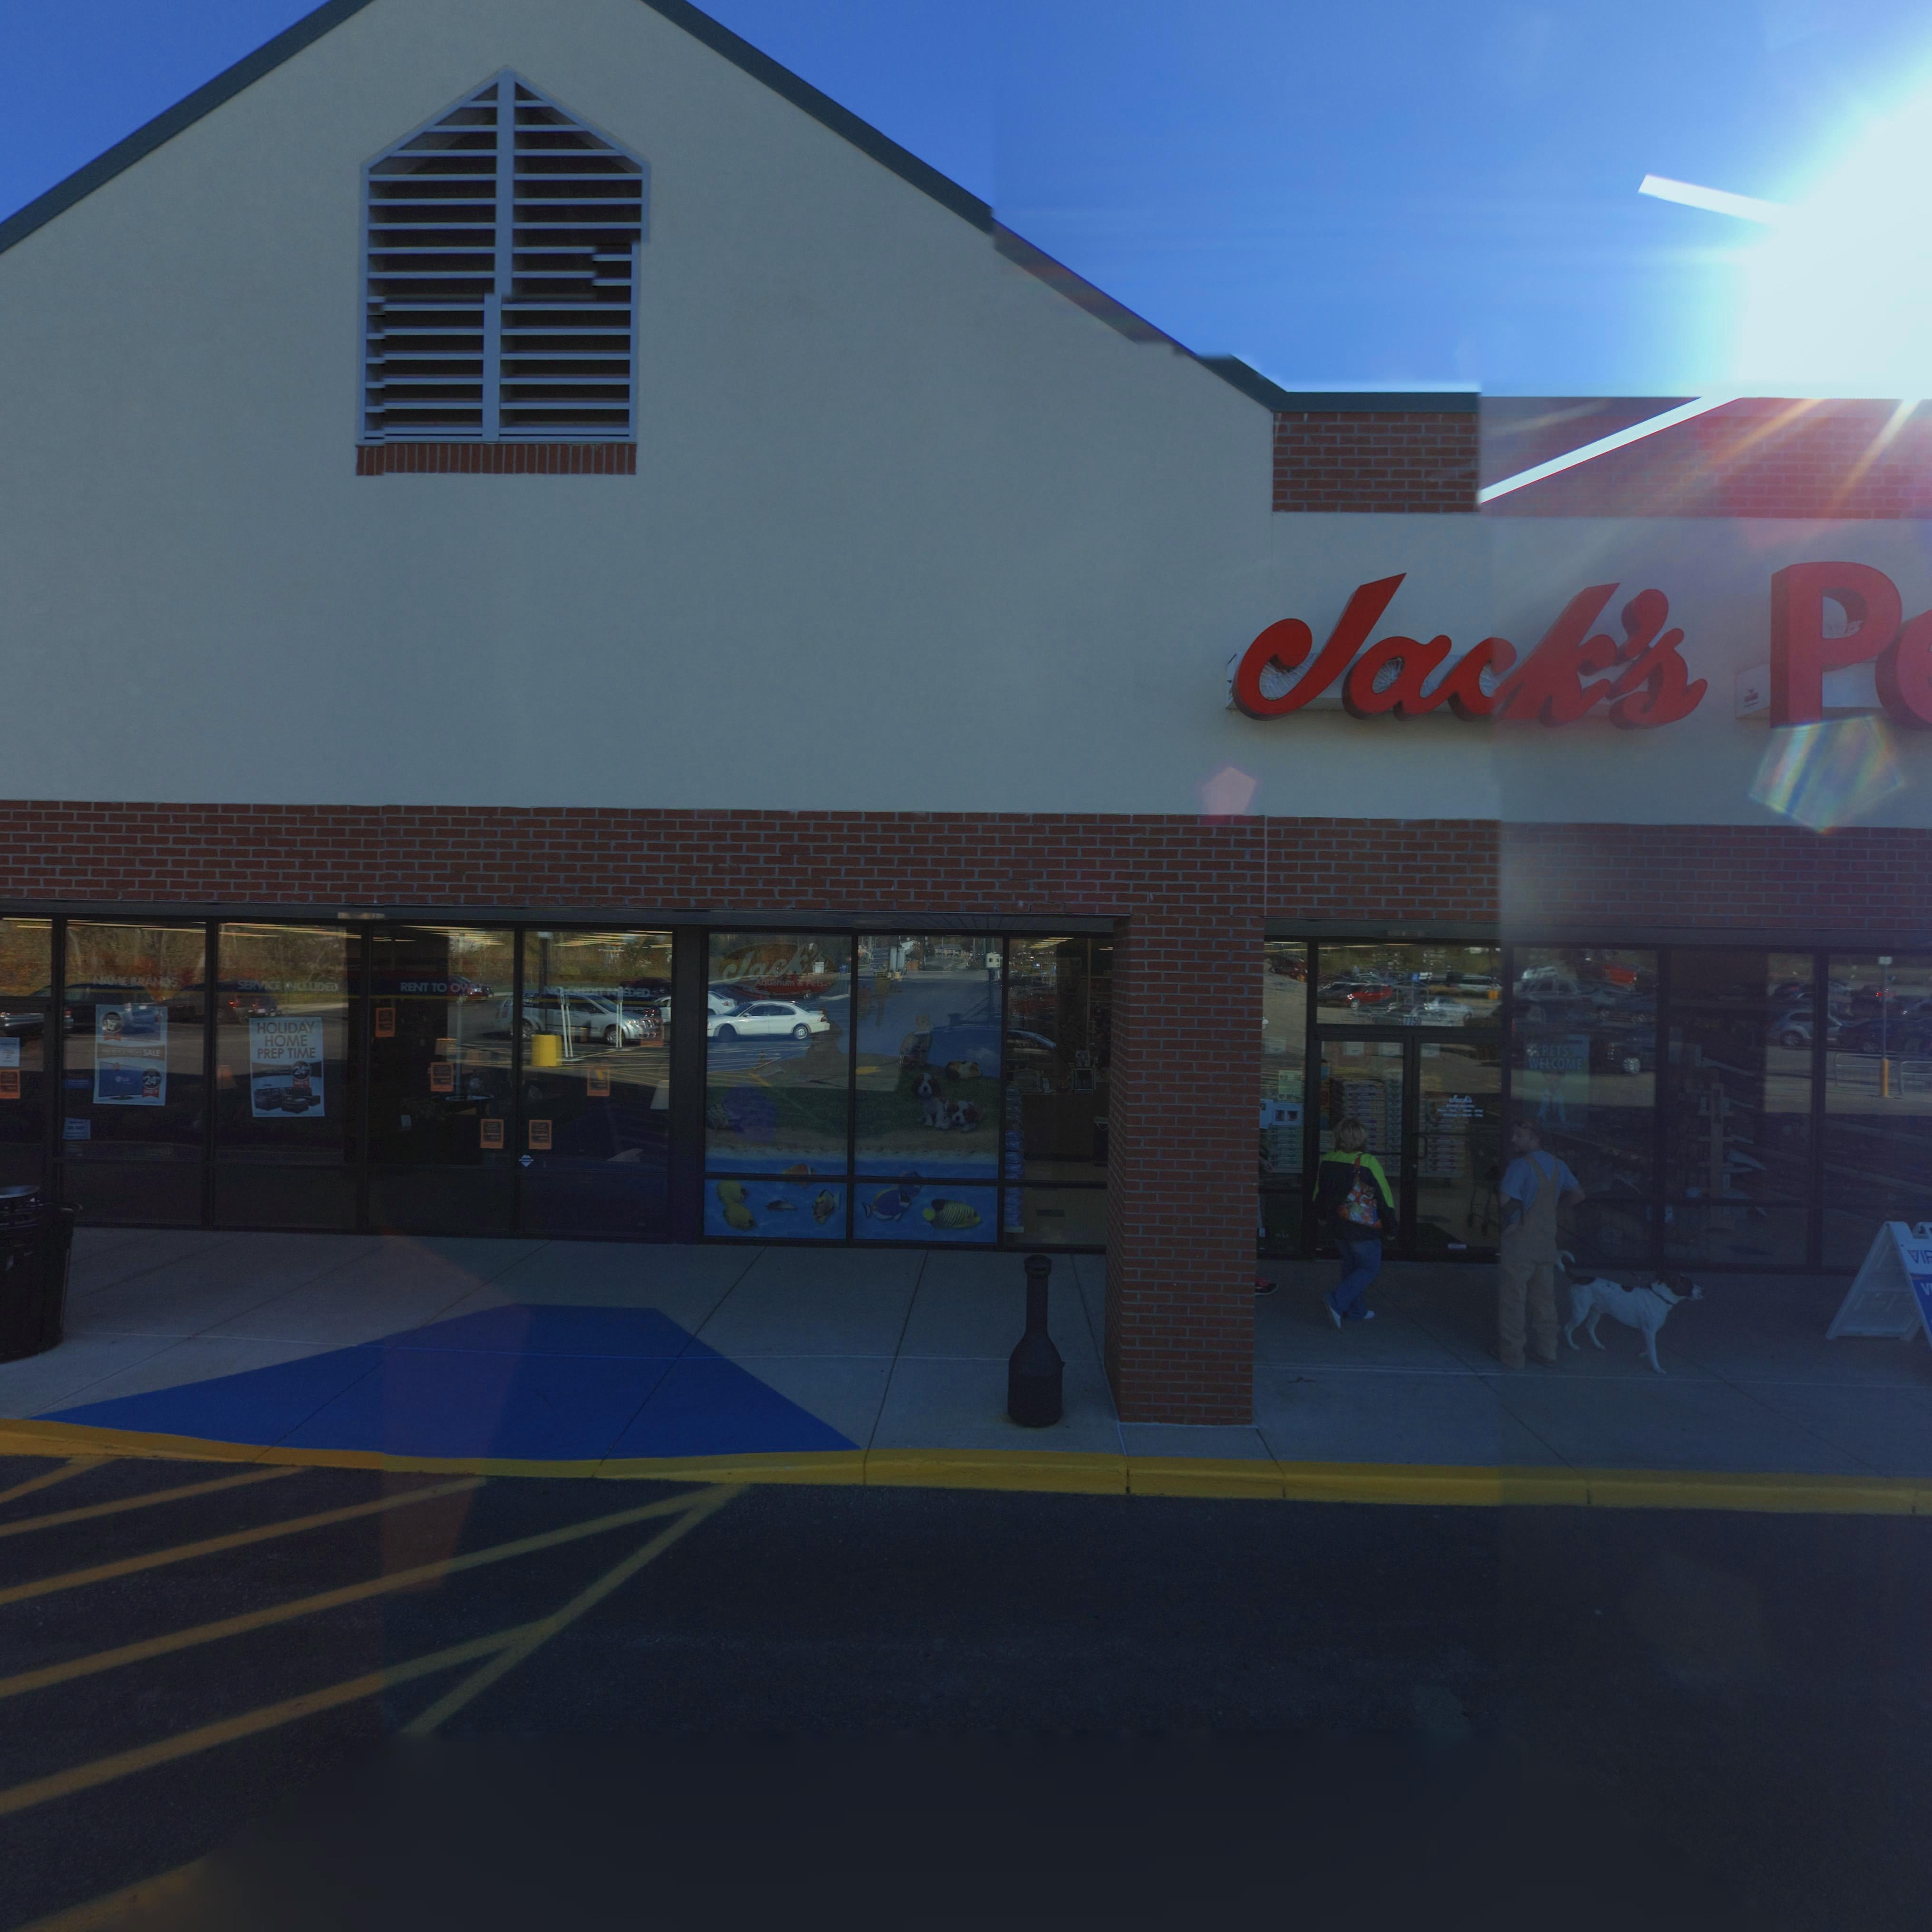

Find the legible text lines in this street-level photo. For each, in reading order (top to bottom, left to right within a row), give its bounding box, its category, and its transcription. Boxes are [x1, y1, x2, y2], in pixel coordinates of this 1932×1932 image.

[1403, 1016, 1422, 1025] StreetNumber: 7750